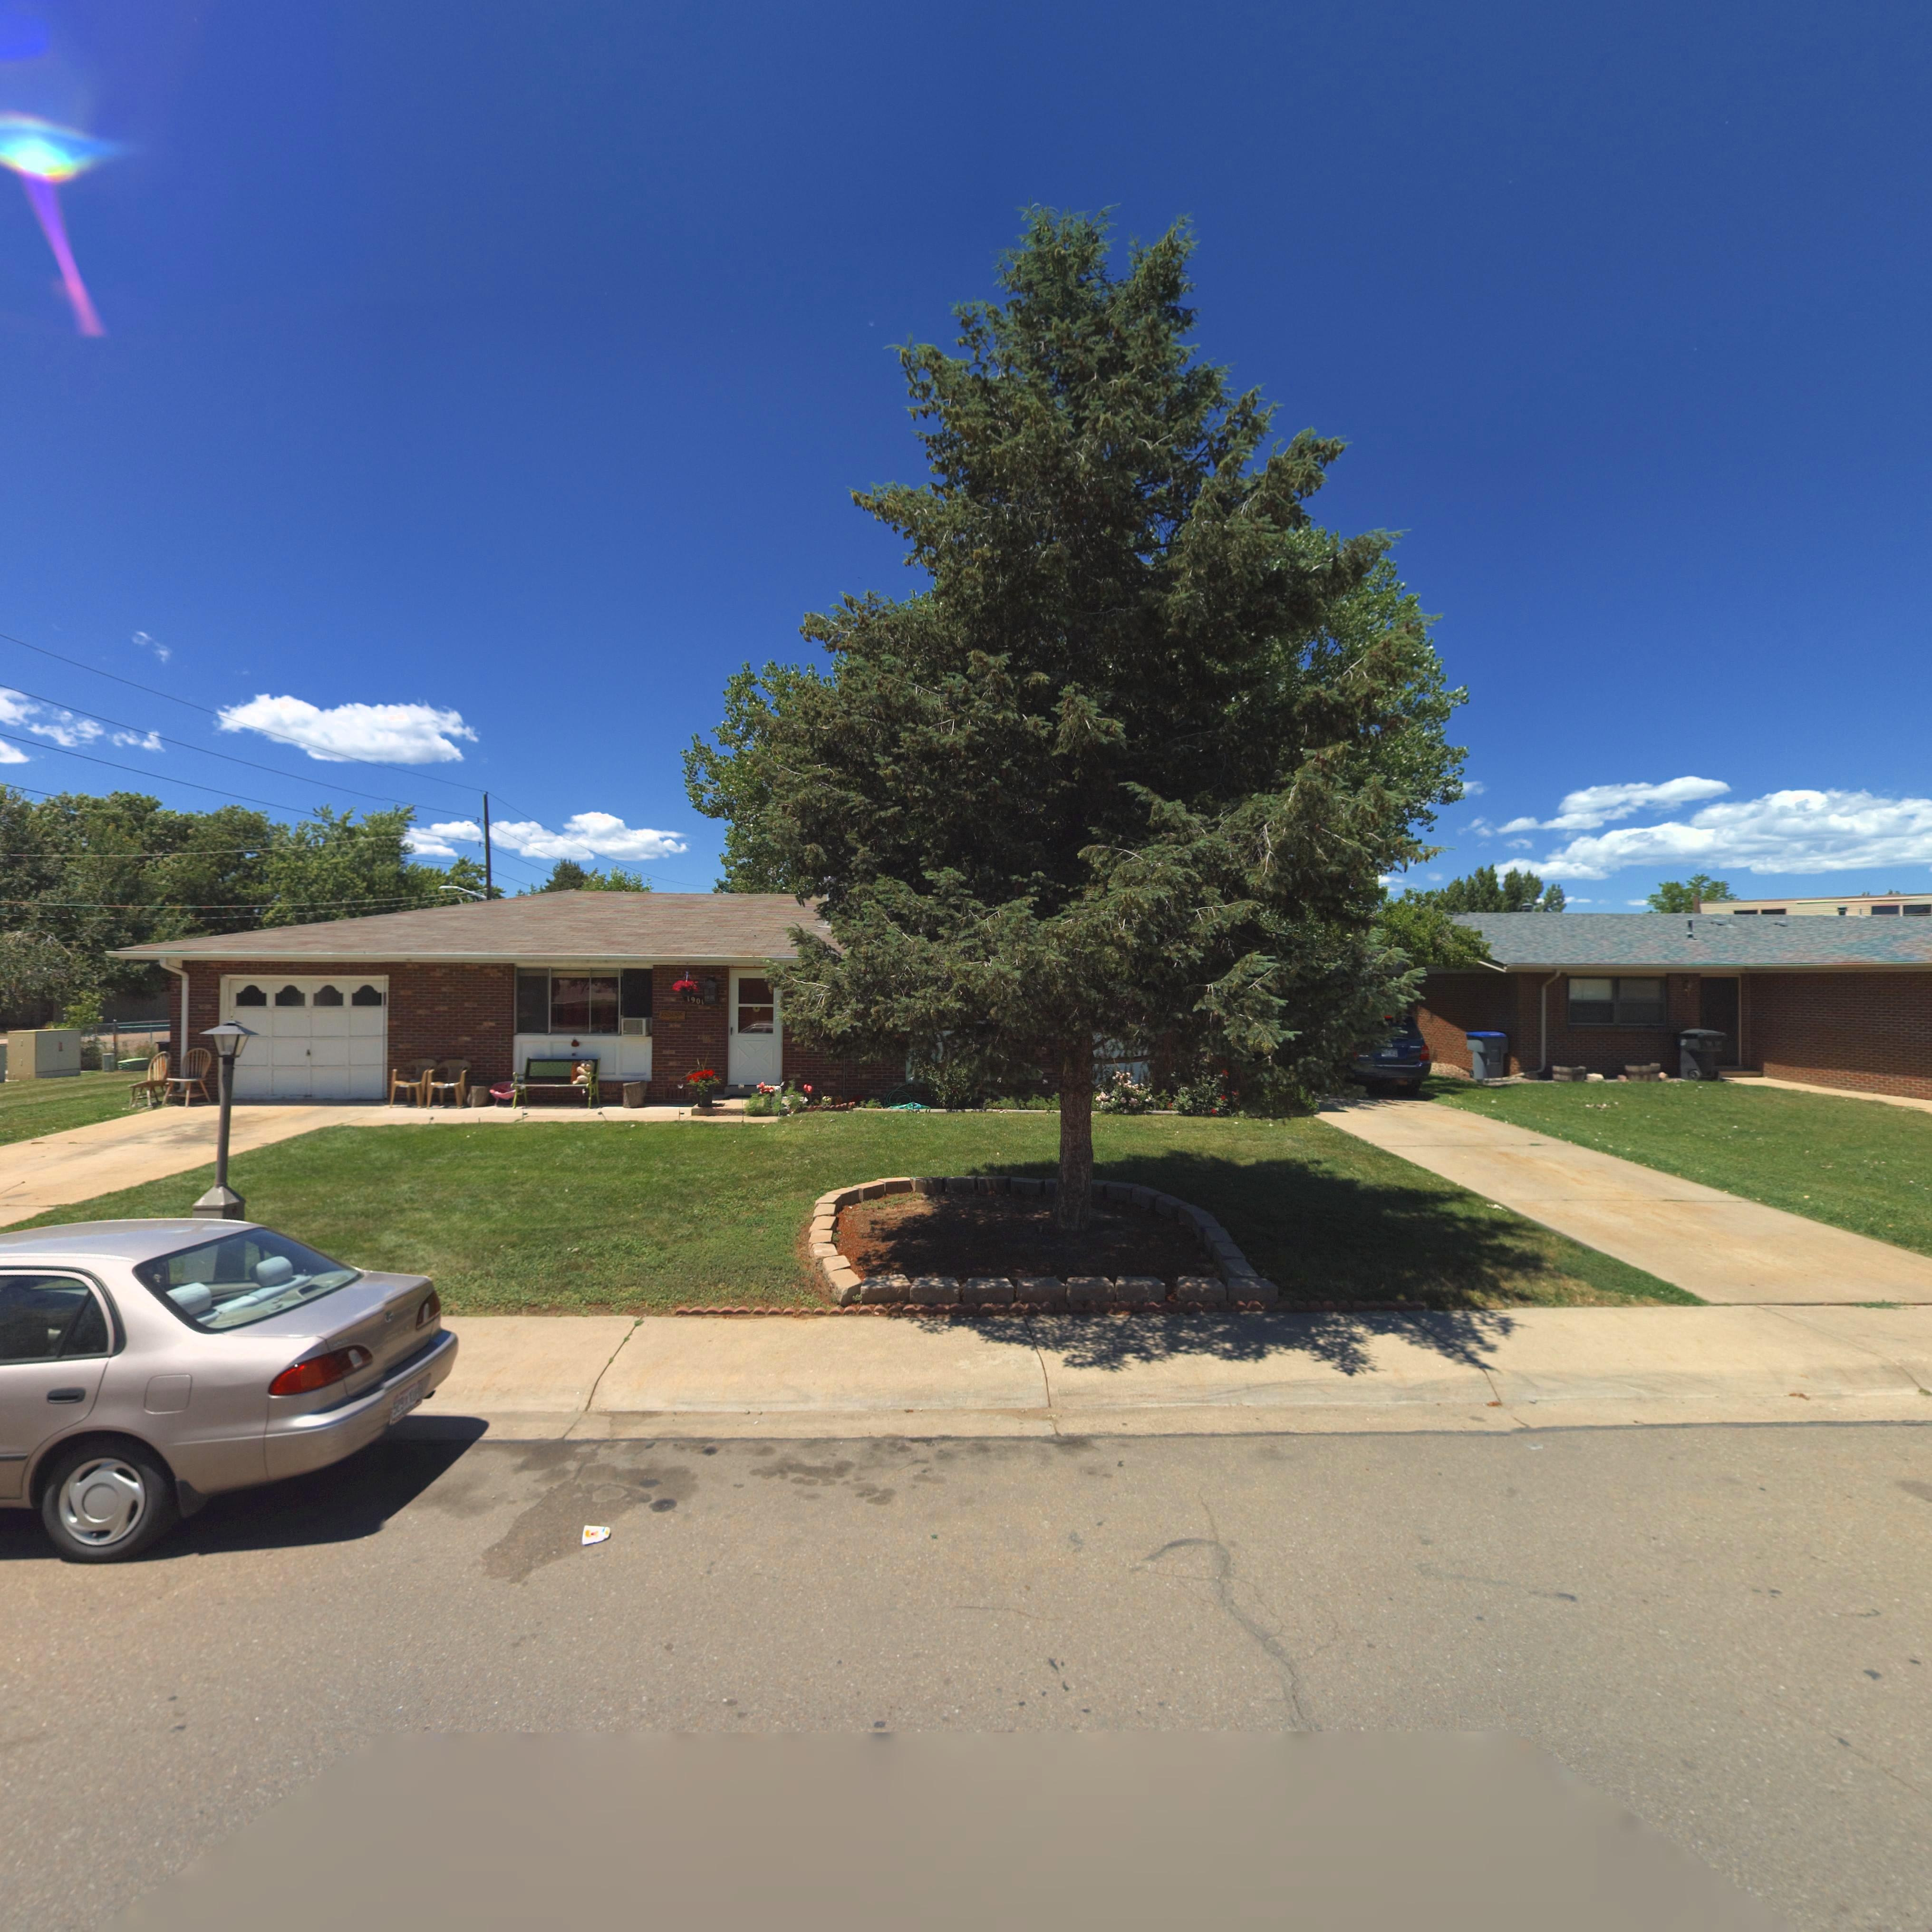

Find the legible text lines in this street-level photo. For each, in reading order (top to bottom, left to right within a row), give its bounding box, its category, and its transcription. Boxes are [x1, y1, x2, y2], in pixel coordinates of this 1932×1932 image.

[687, 995, 704, 1005] StreetNumber: 1901